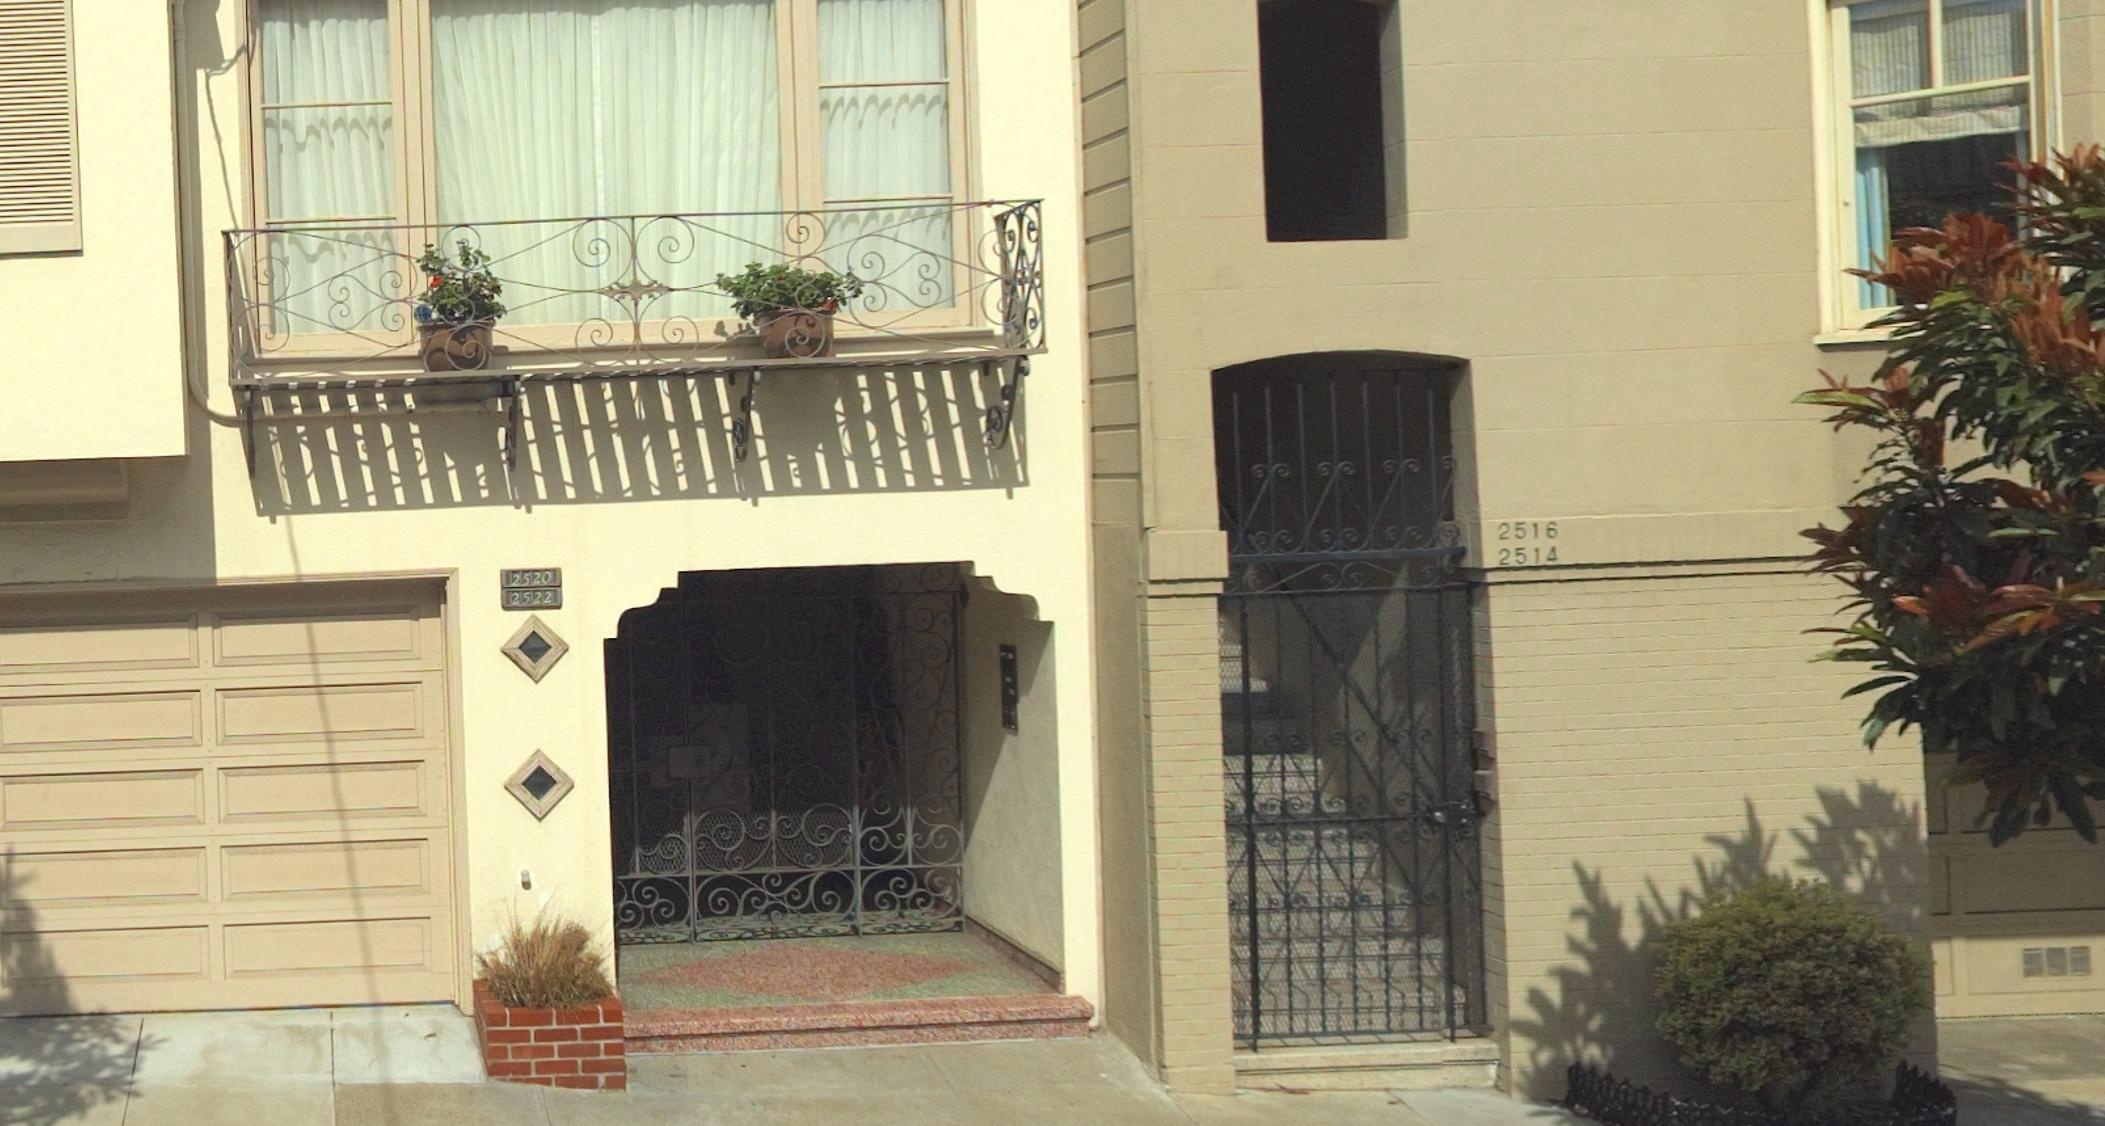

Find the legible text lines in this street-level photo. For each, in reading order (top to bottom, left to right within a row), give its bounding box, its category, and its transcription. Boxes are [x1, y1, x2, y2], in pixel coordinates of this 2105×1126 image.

[1495, 517, 1561, 544] StreetNumber: 2516
[1494, 542, 1562, 569] StreetNumber: 2514
[509, 568, 554, 588] StreetNumber: 2520
[509, 588, 555, 608] StreetNumber: 2522